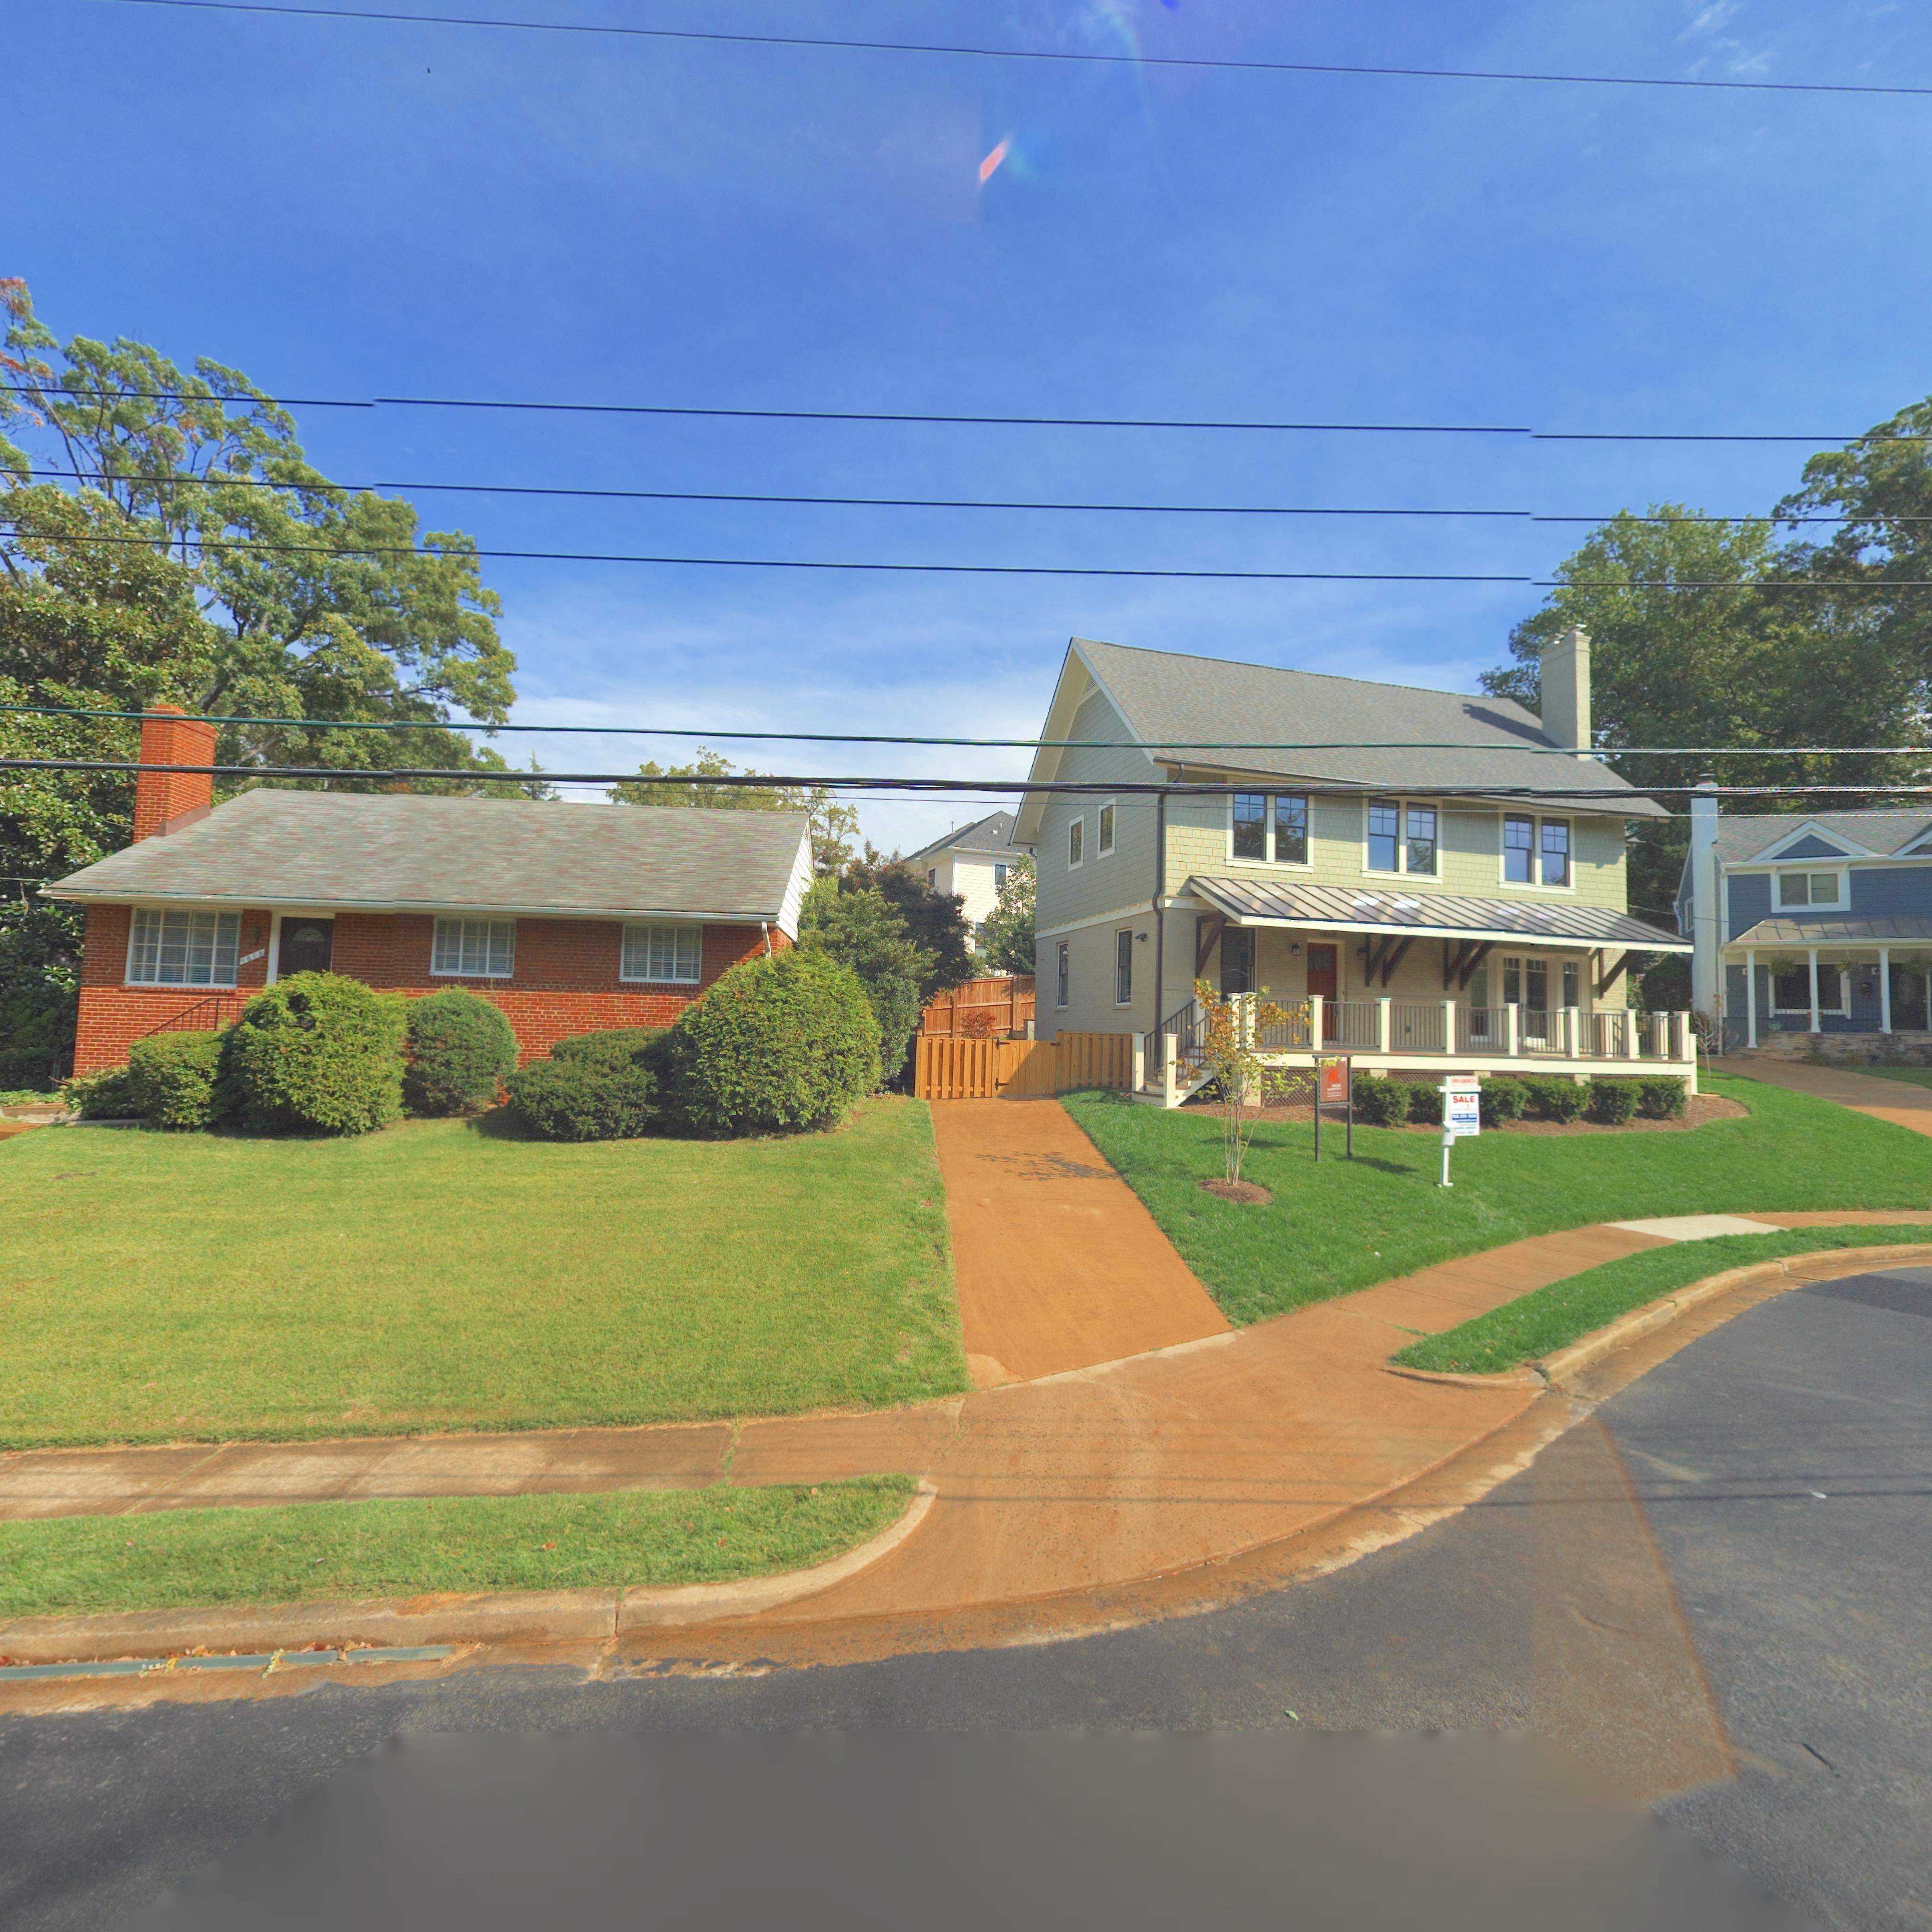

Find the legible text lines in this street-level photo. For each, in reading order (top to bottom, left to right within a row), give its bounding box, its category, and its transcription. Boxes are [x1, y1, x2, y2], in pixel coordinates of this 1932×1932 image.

[1318, 929, 1338, 939] StreetNumber: 1609
[241, 948, 263, 966] StreetNumber: 1615
[1451, 1094, 1476, 1105] None: SALE